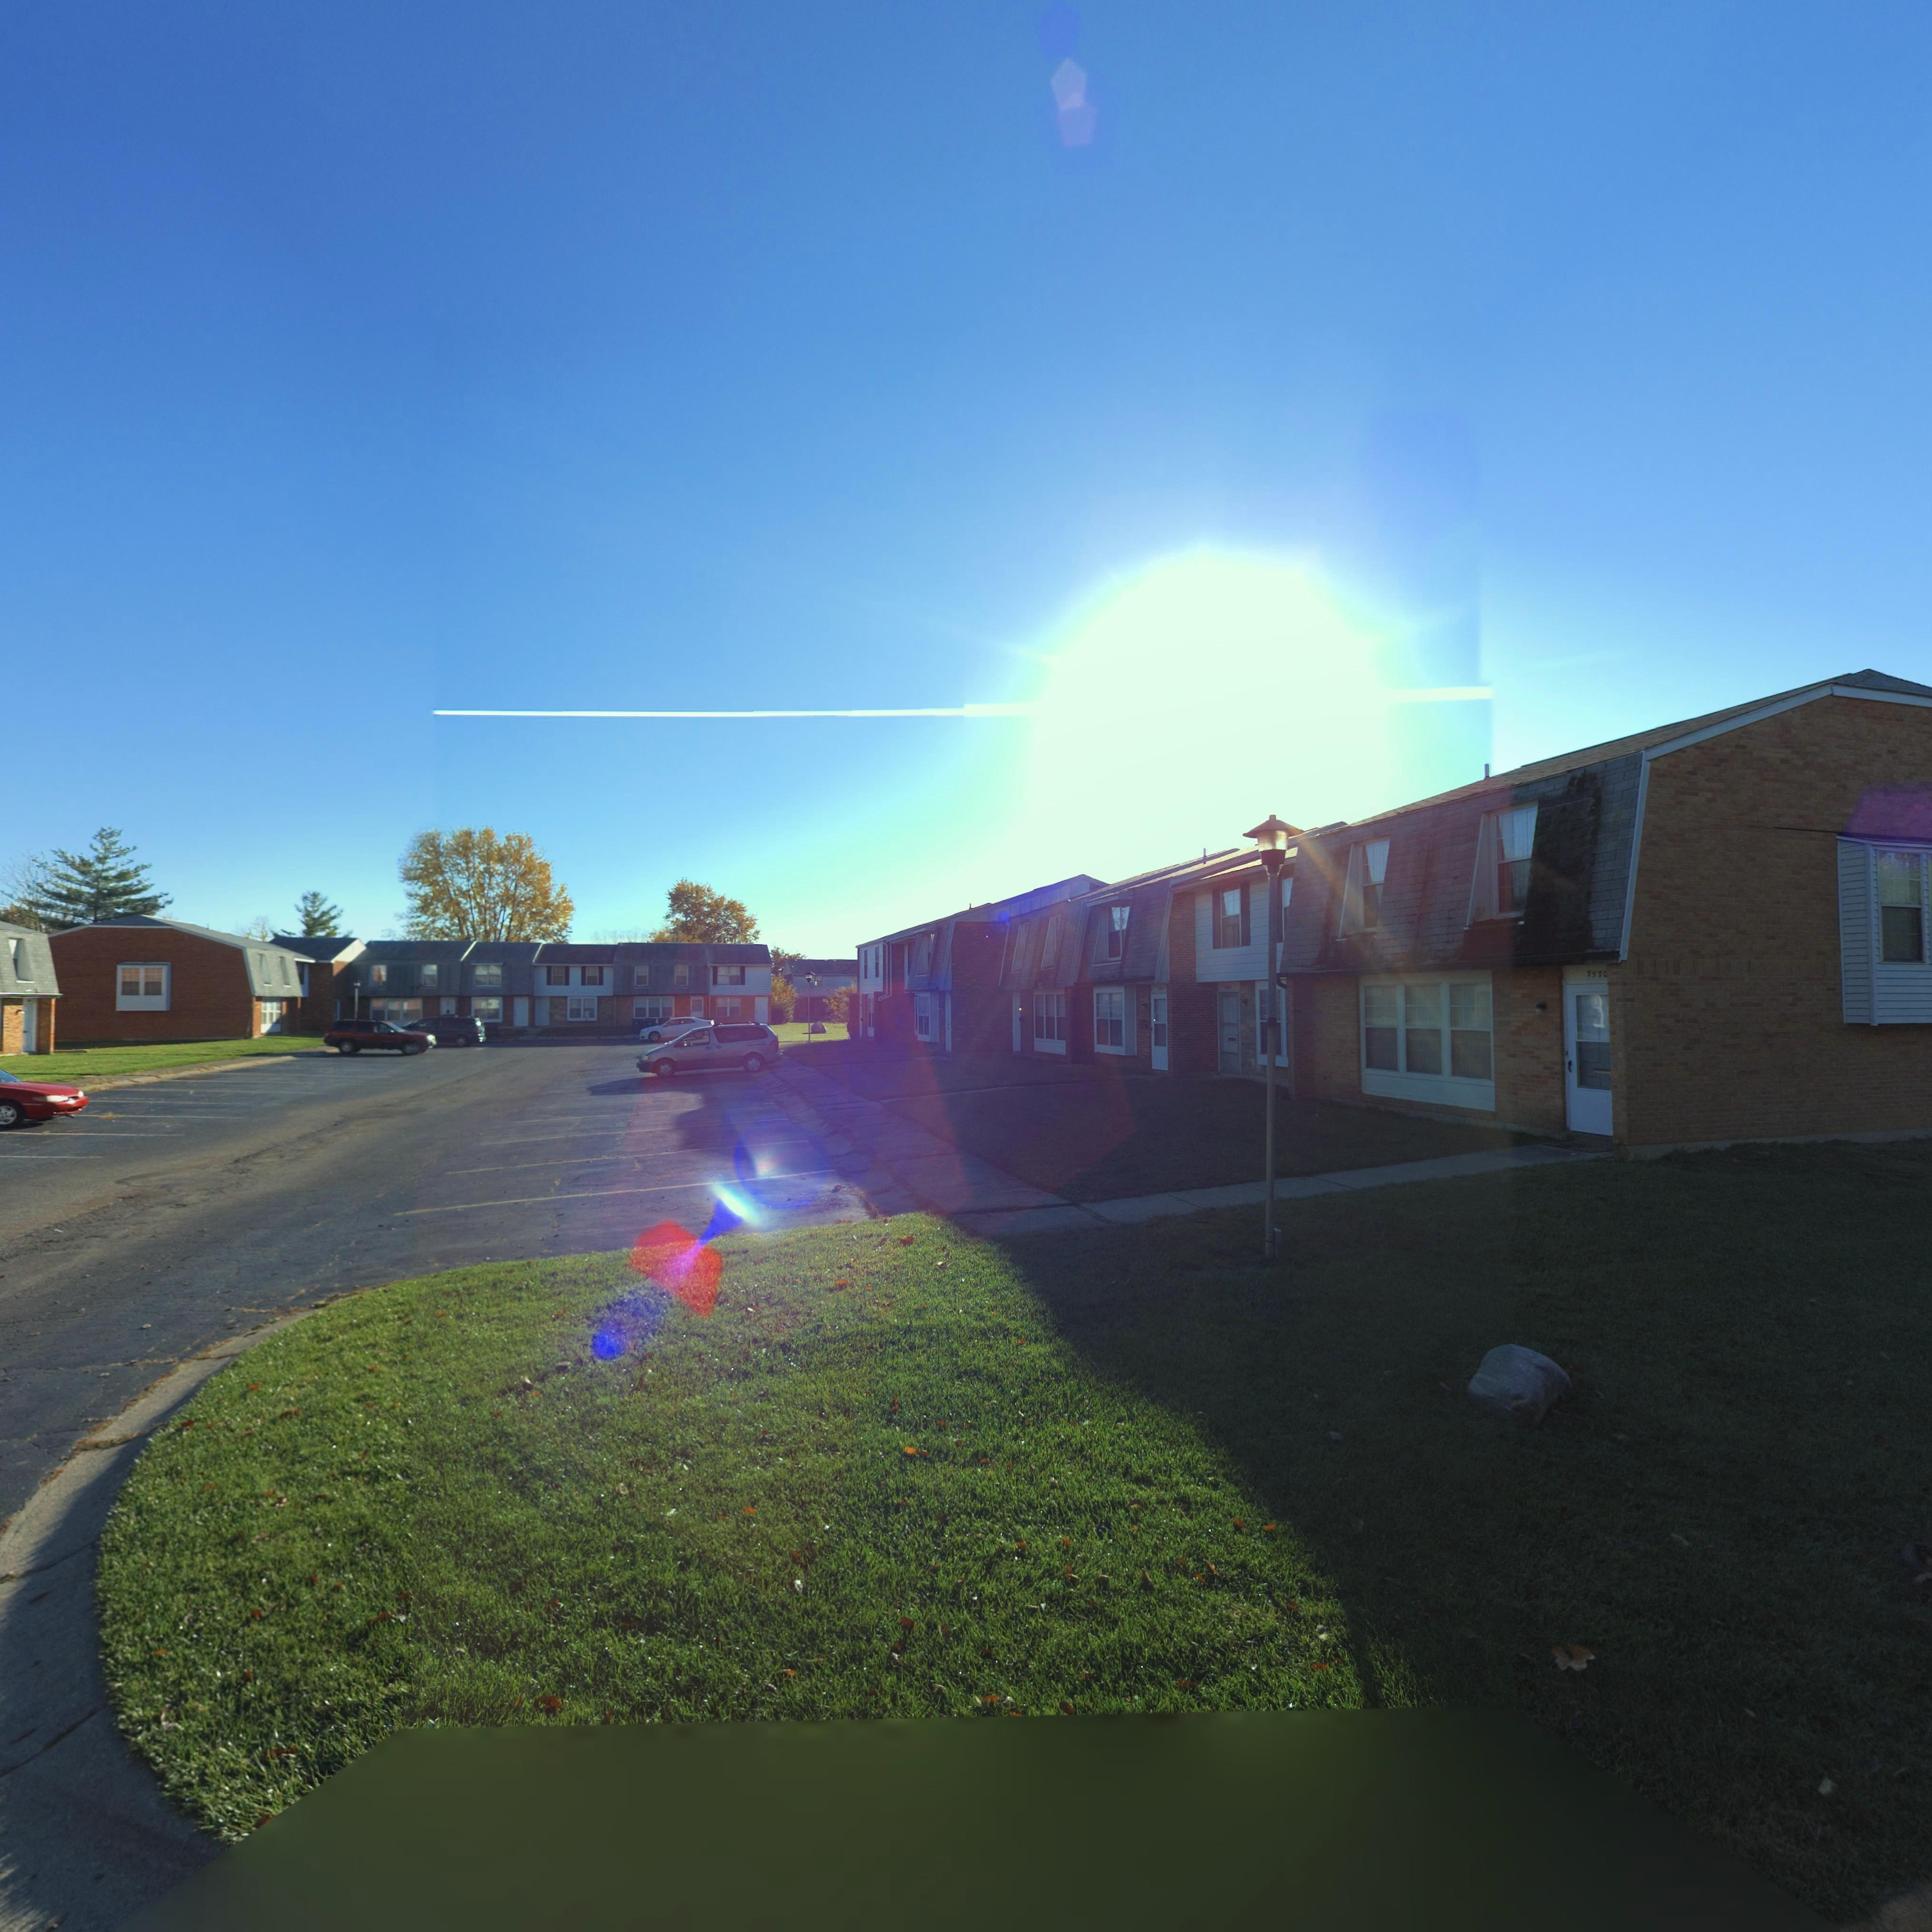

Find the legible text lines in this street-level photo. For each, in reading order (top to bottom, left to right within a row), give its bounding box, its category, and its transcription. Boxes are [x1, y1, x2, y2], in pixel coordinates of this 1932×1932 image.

[1585, 969, 1608, 979] StreetNumber: 7570